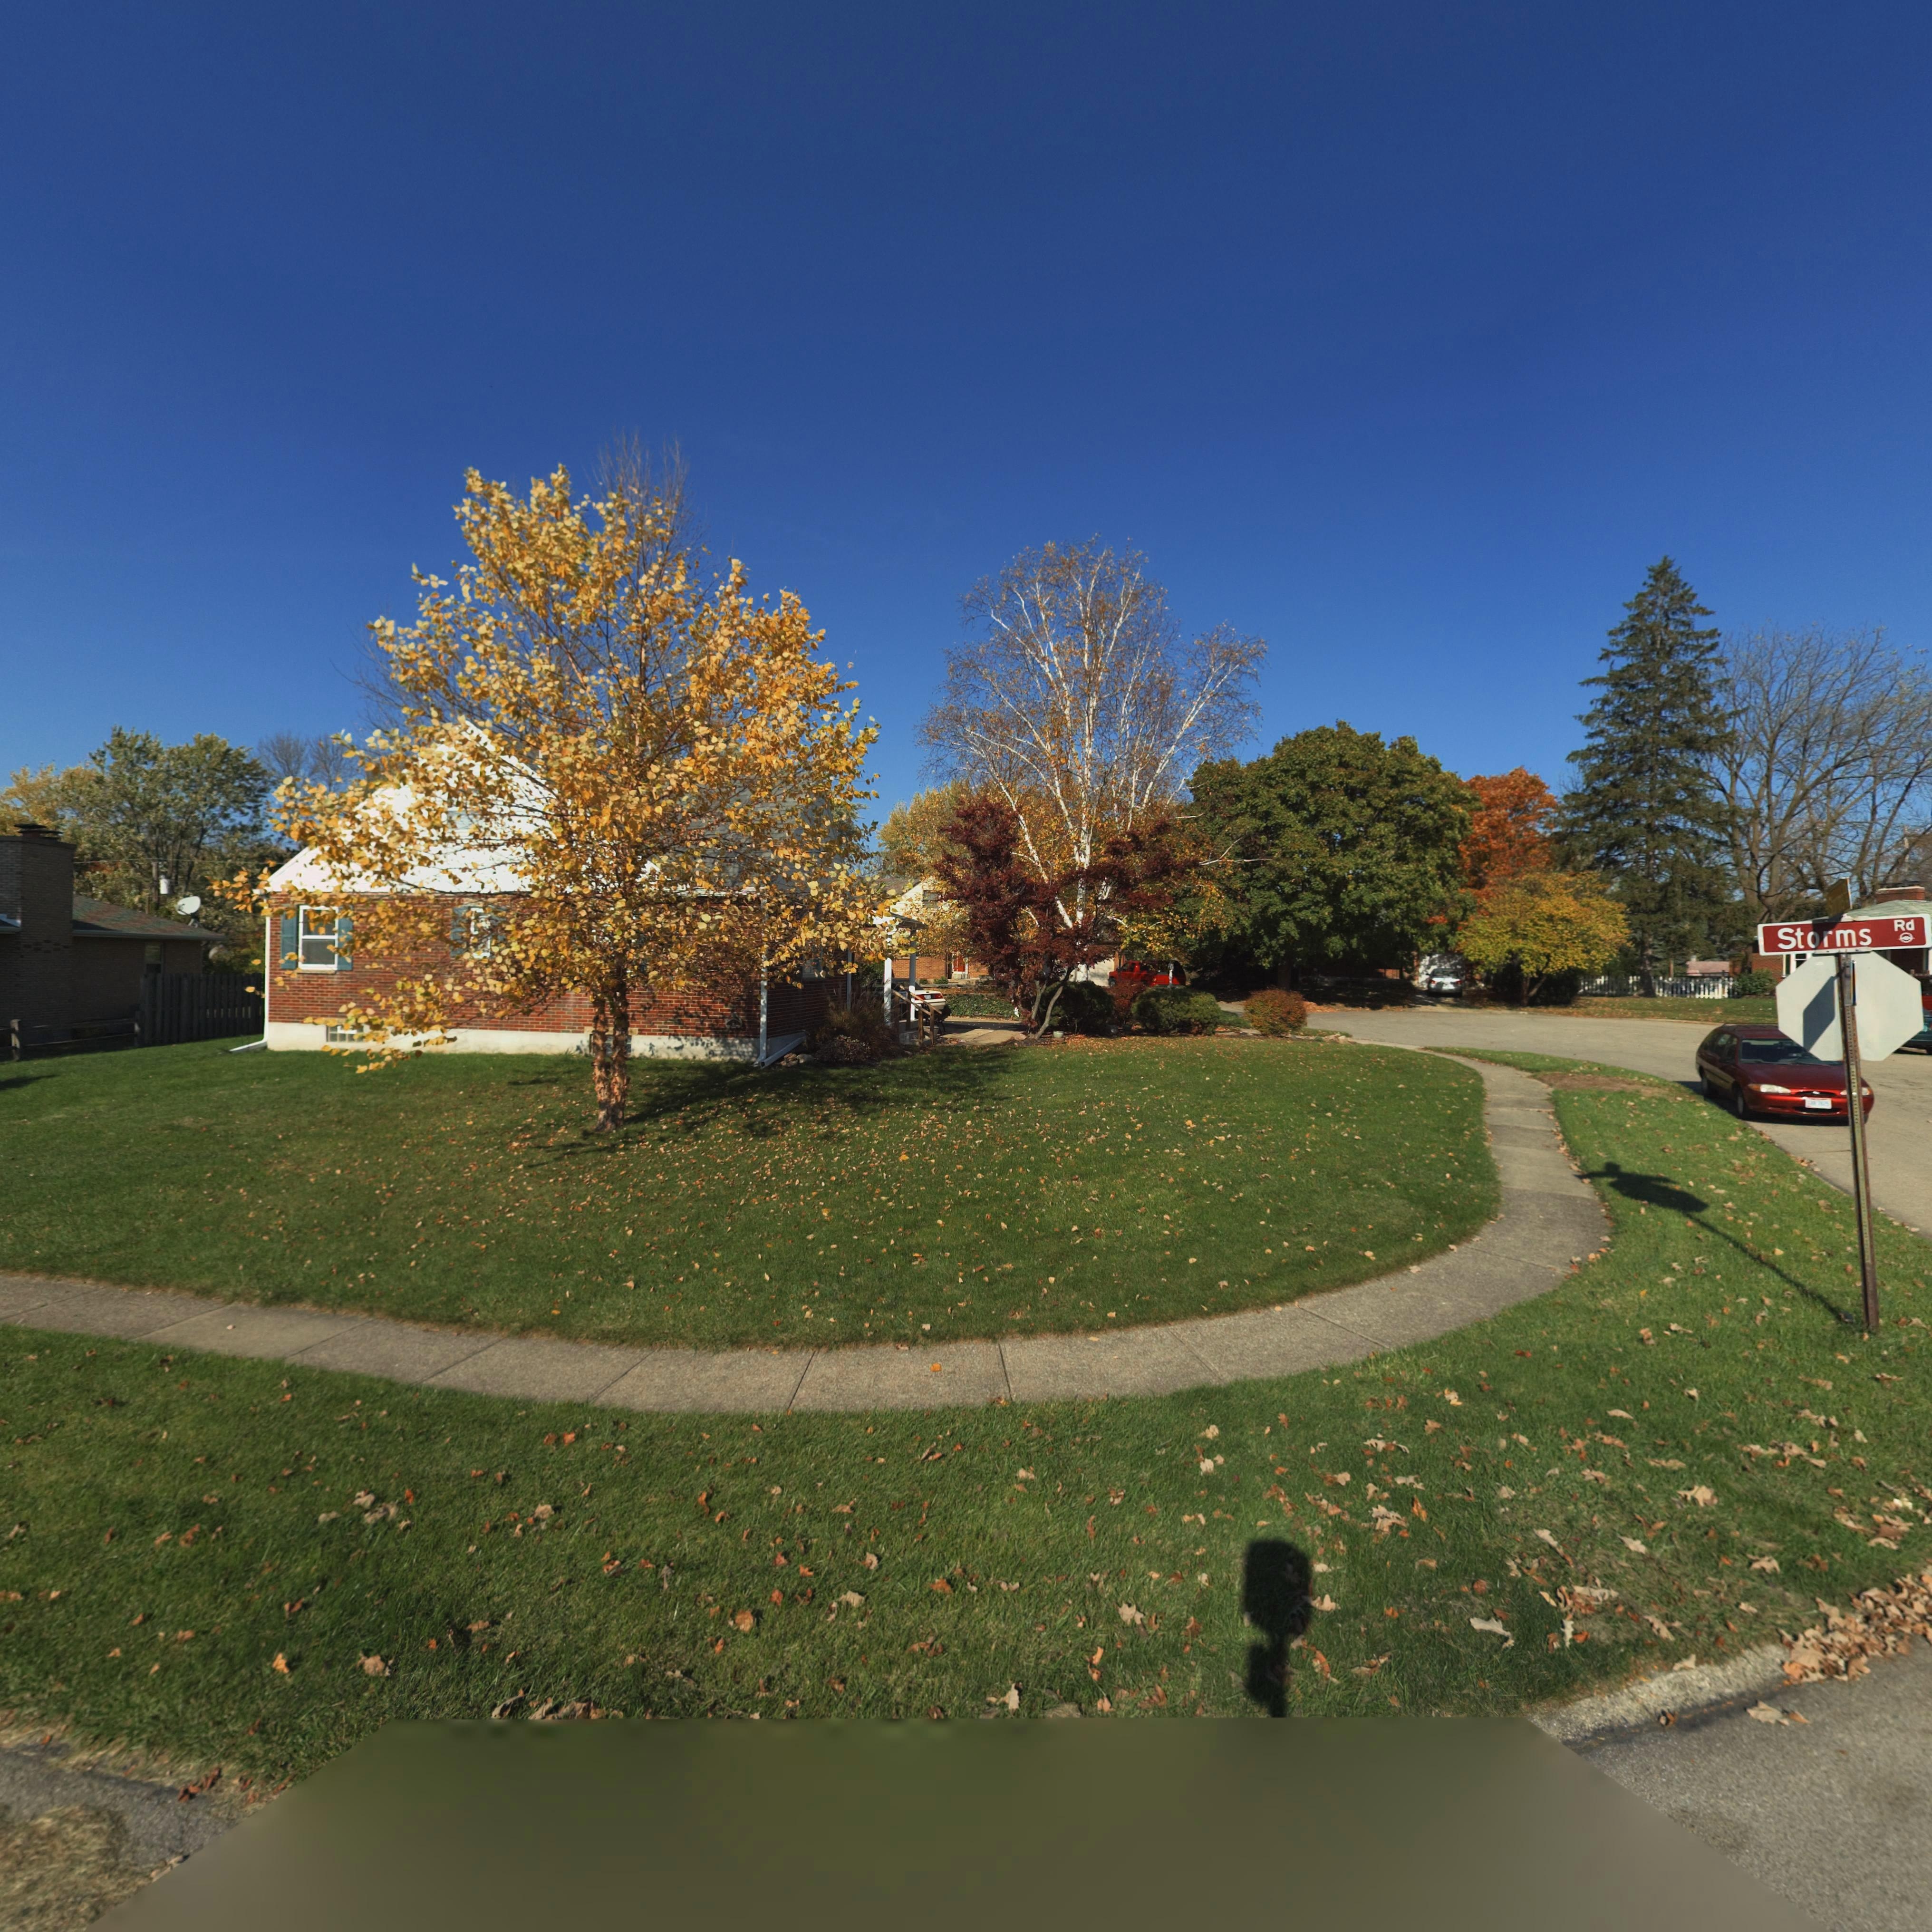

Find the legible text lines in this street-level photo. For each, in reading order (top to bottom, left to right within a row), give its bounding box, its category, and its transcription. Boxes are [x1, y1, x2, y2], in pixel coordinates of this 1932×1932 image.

[1828, 883, 1847, 918] StreetName: S****s Dr
[1776, 919, 1915, 950] StreetName: Storms Rd